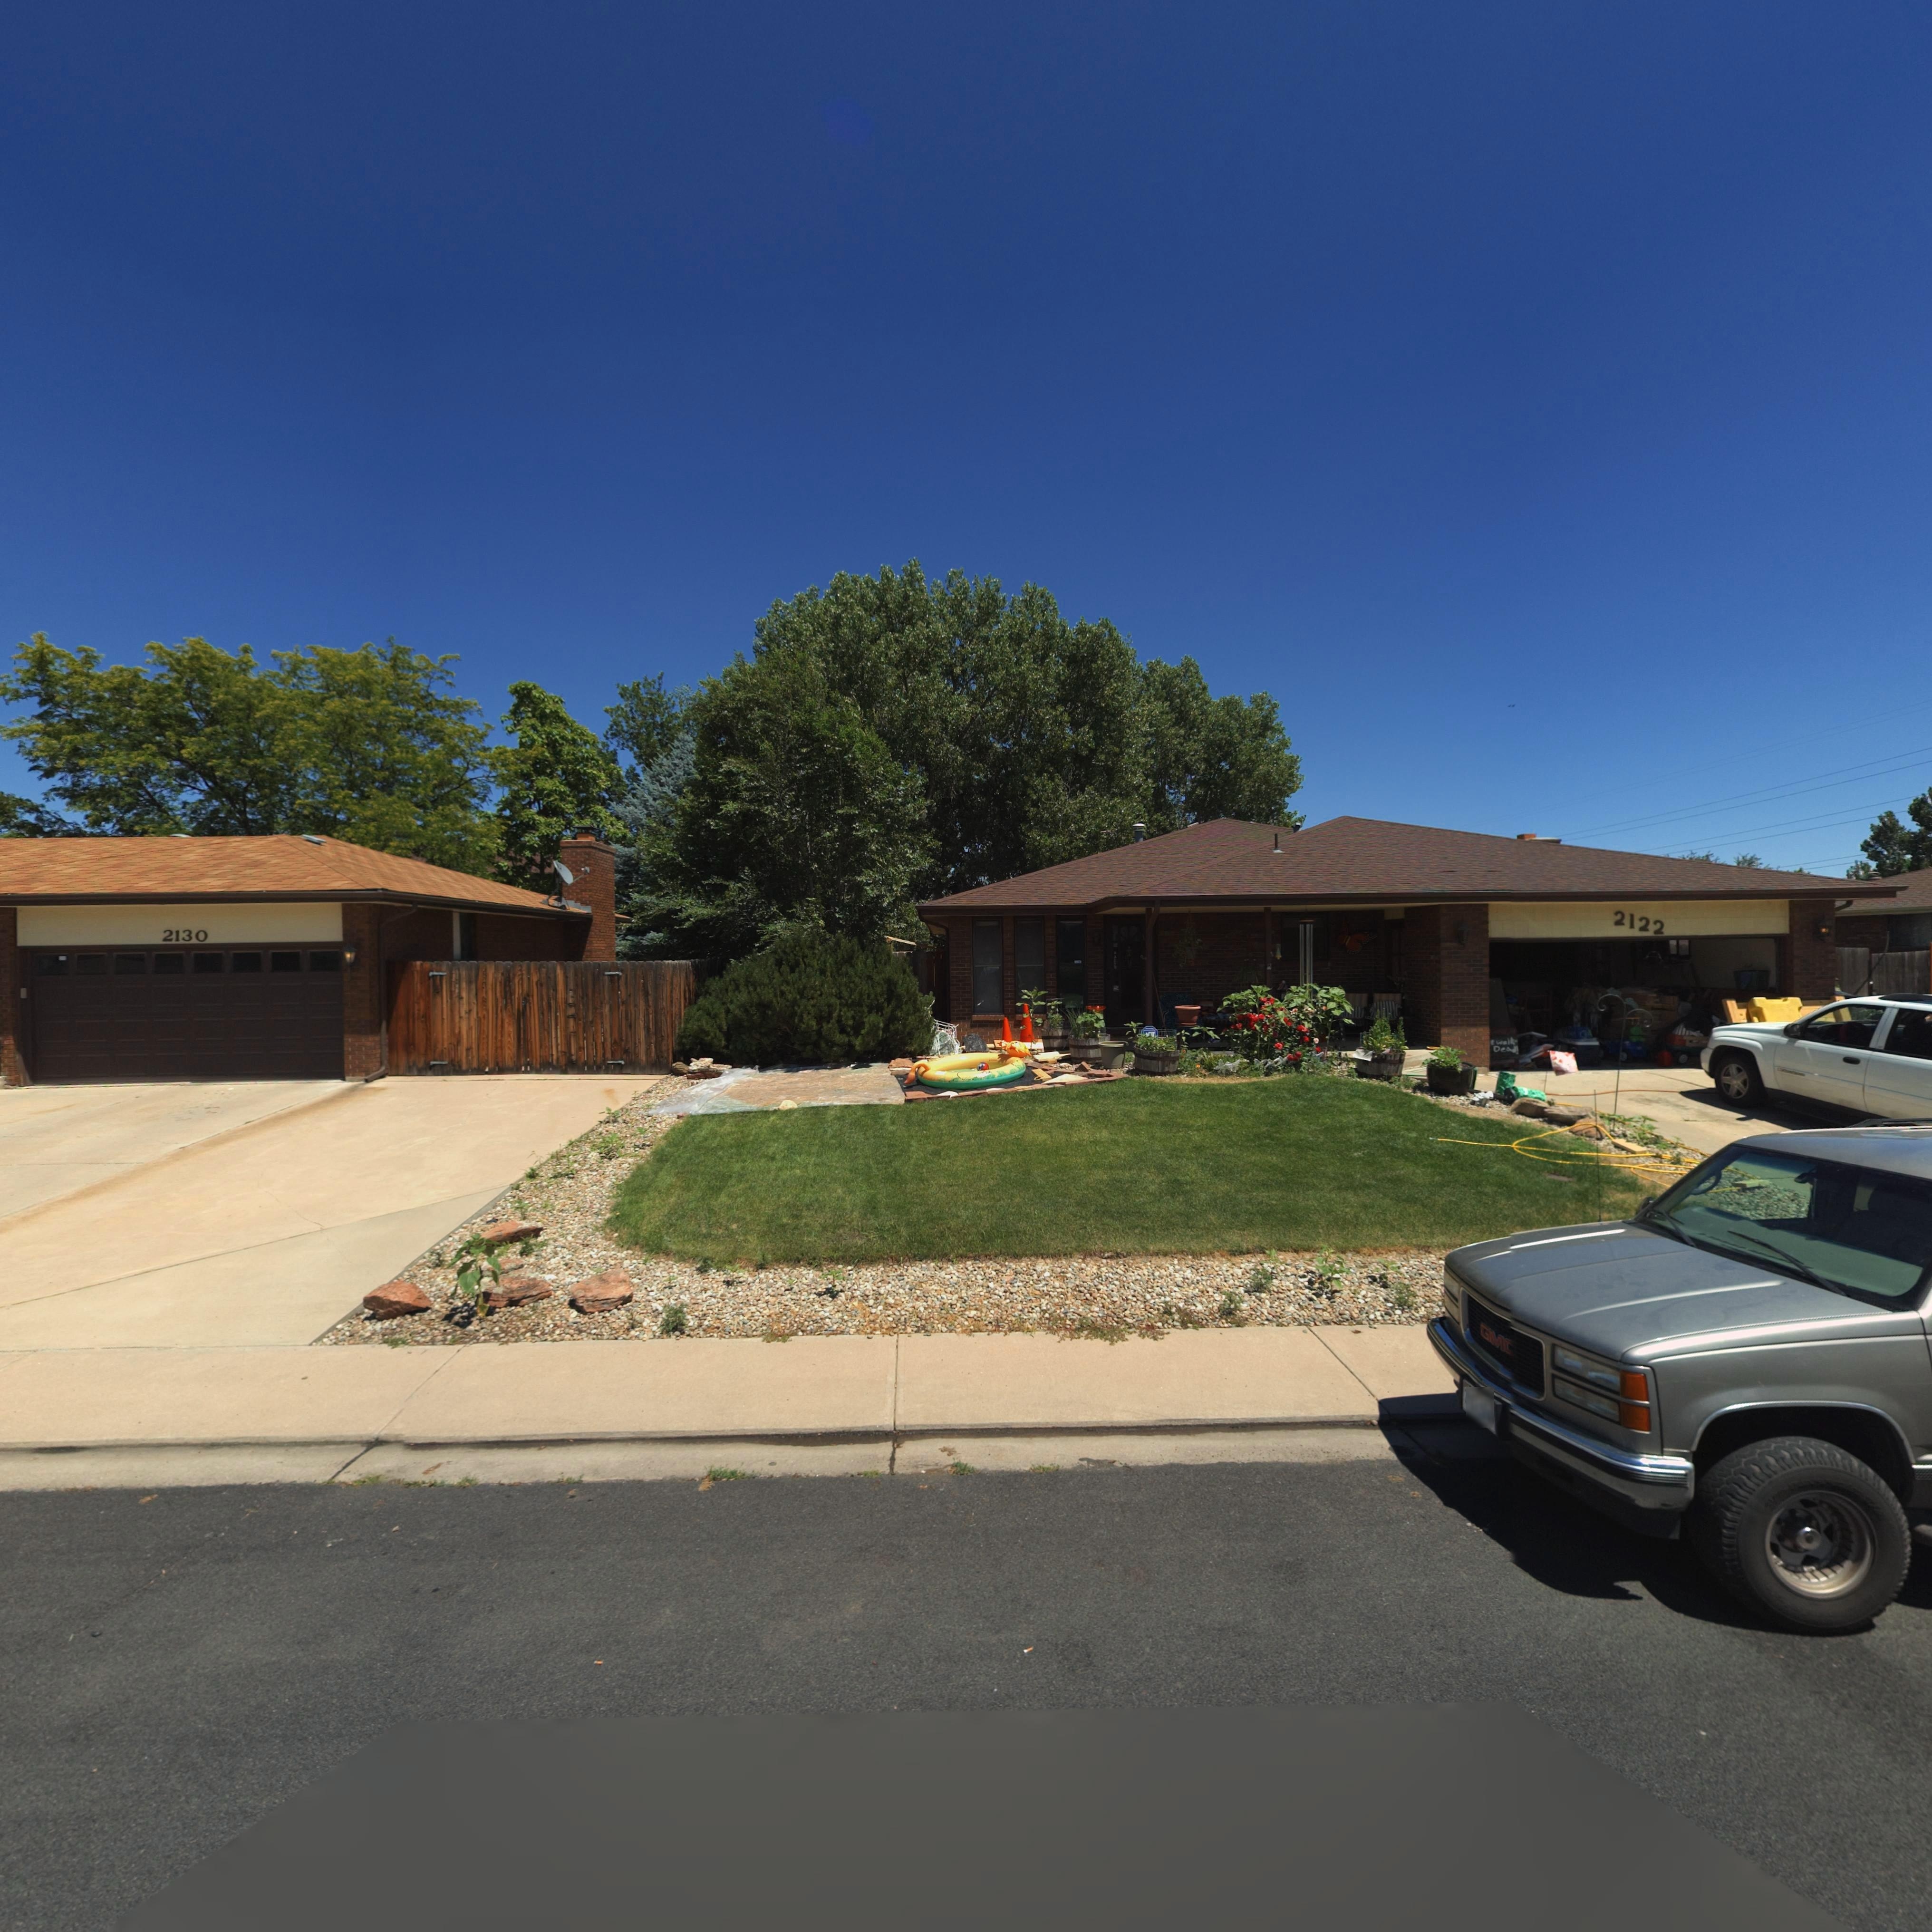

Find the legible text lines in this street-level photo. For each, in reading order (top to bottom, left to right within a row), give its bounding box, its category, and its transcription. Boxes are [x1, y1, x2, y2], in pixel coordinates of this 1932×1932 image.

[1613, 909, 1665, 935] StreetNumber: 2122
[161, 928, 209, 943] StreetNumber: 2130